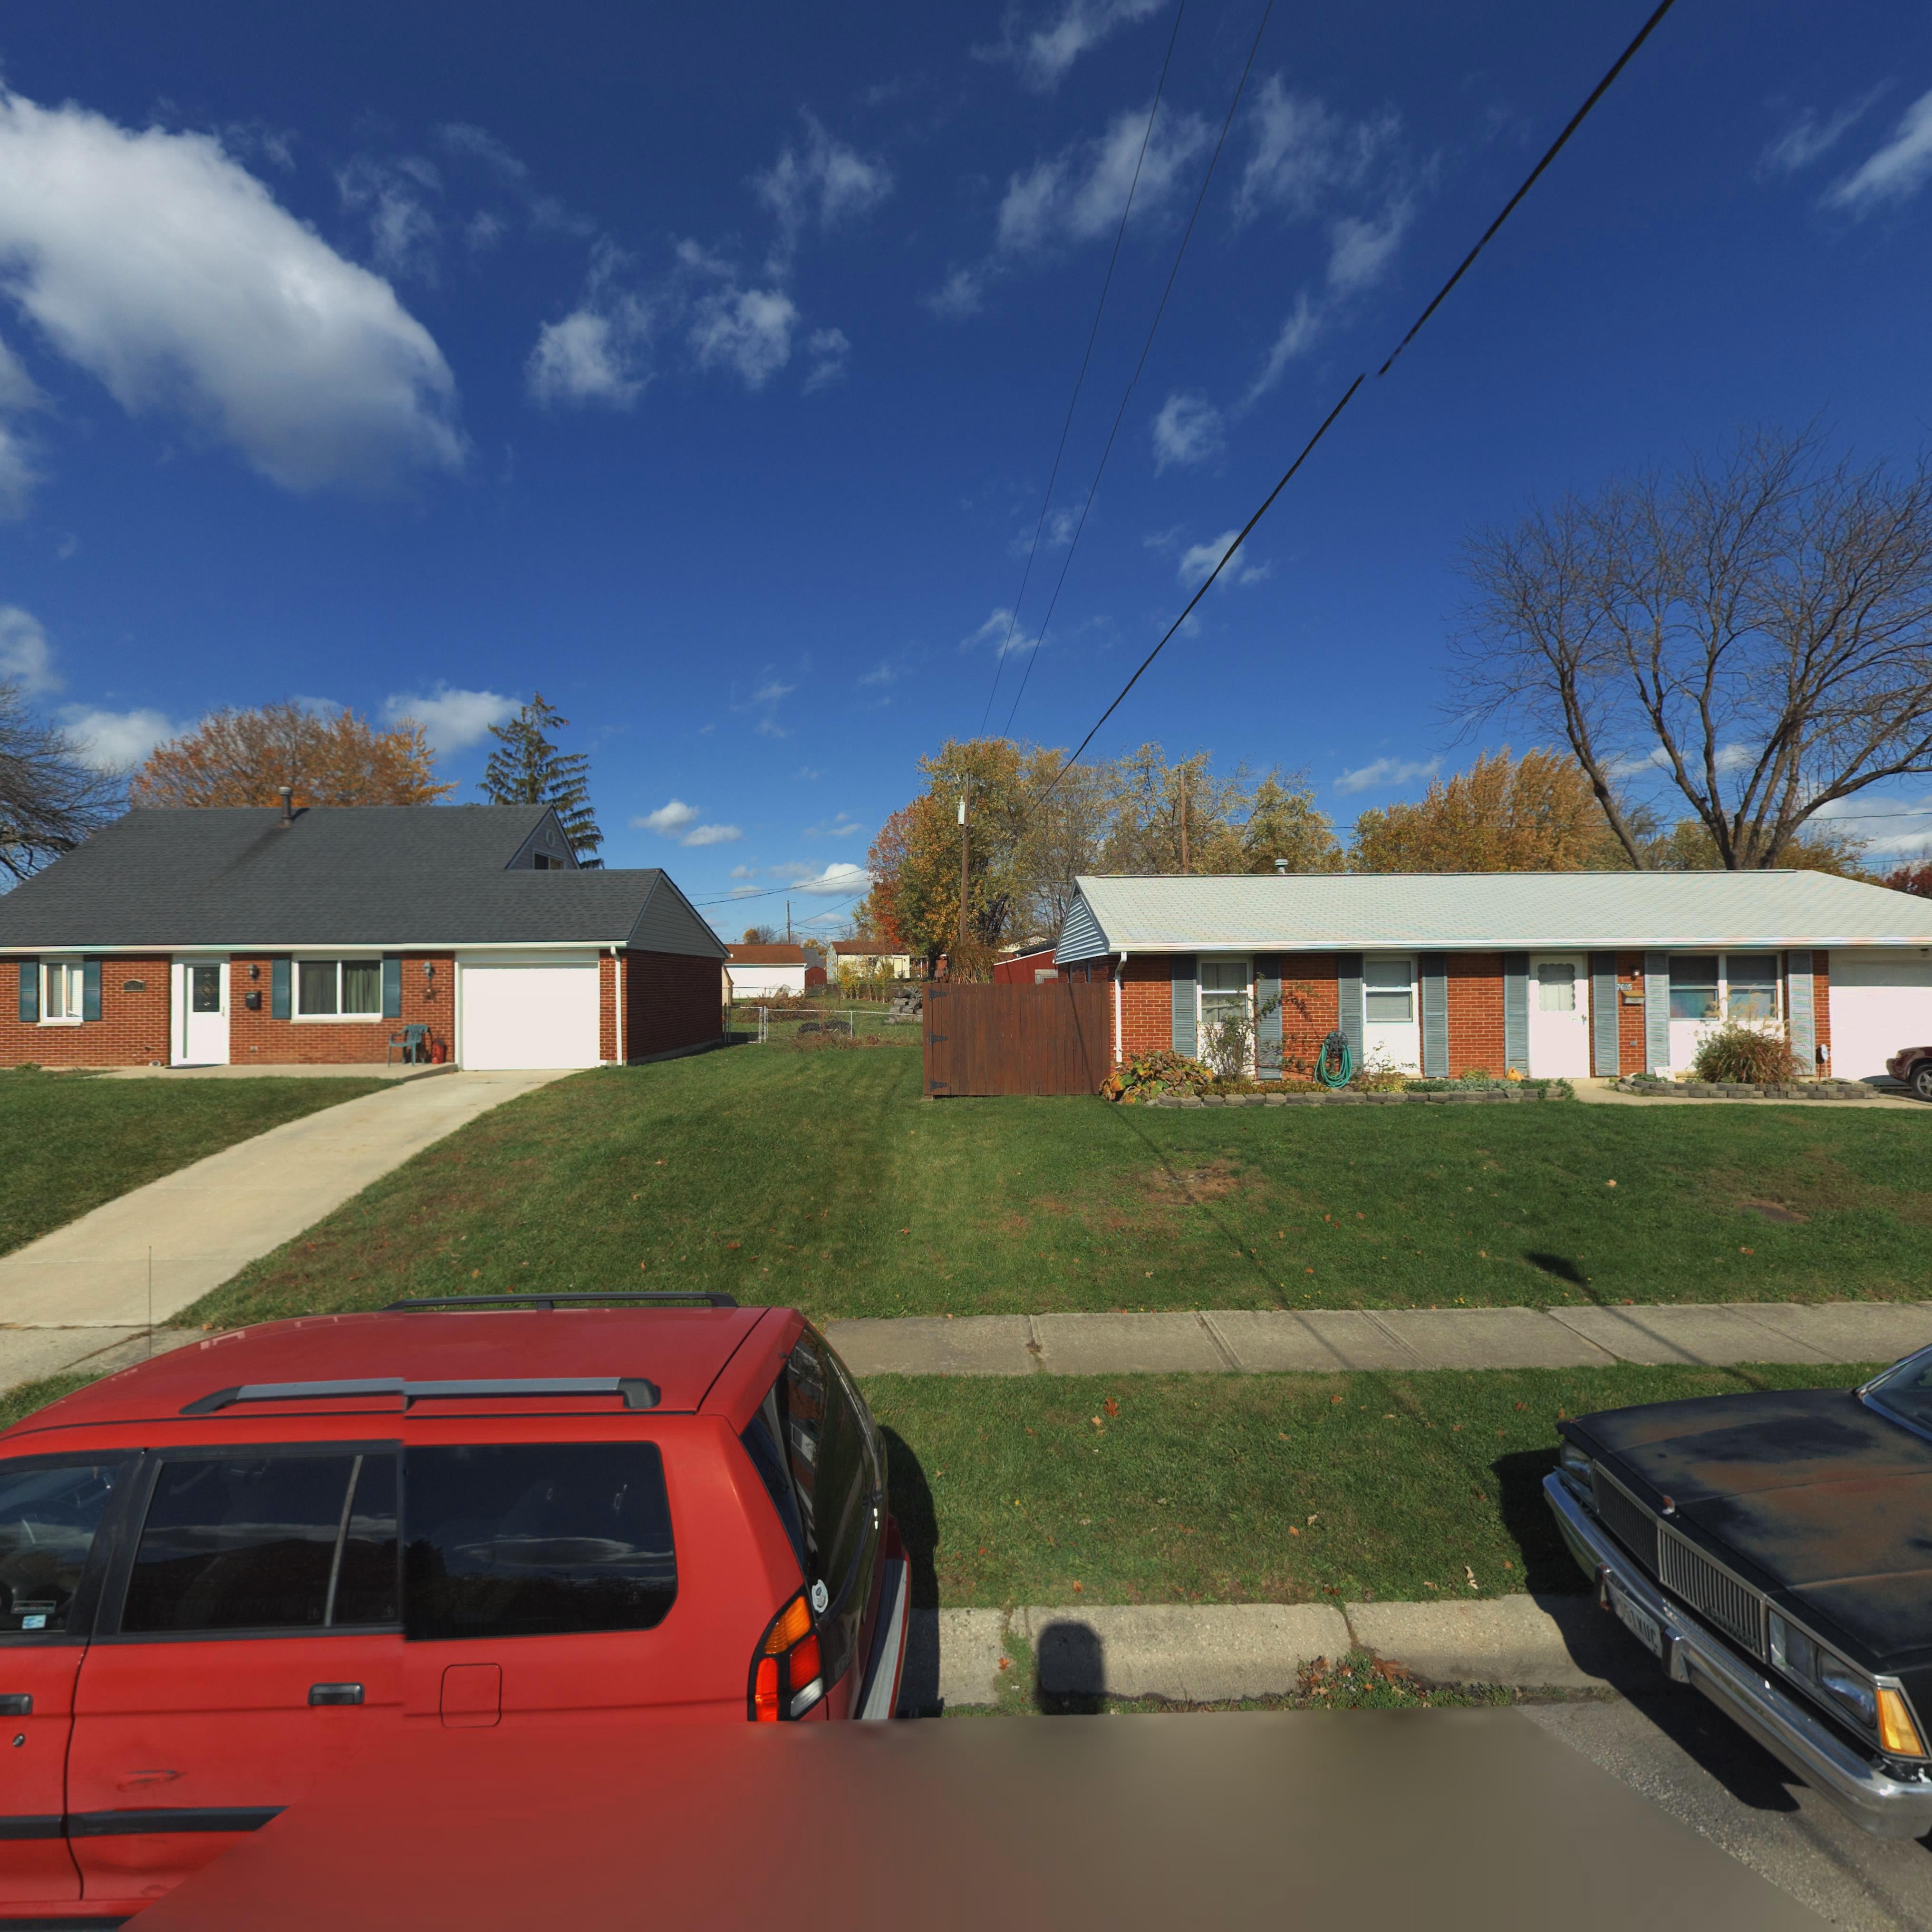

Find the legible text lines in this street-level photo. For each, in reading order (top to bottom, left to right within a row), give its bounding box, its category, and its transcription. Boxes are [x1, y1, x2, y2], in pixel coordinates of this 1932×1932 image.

[125, 982, 141, 990] StreetNumber: 7605
[1616, 983, 1633, 991] StreetNumber: 7605
[1567, 1015, 1578, 1021] StreetNumber: 760